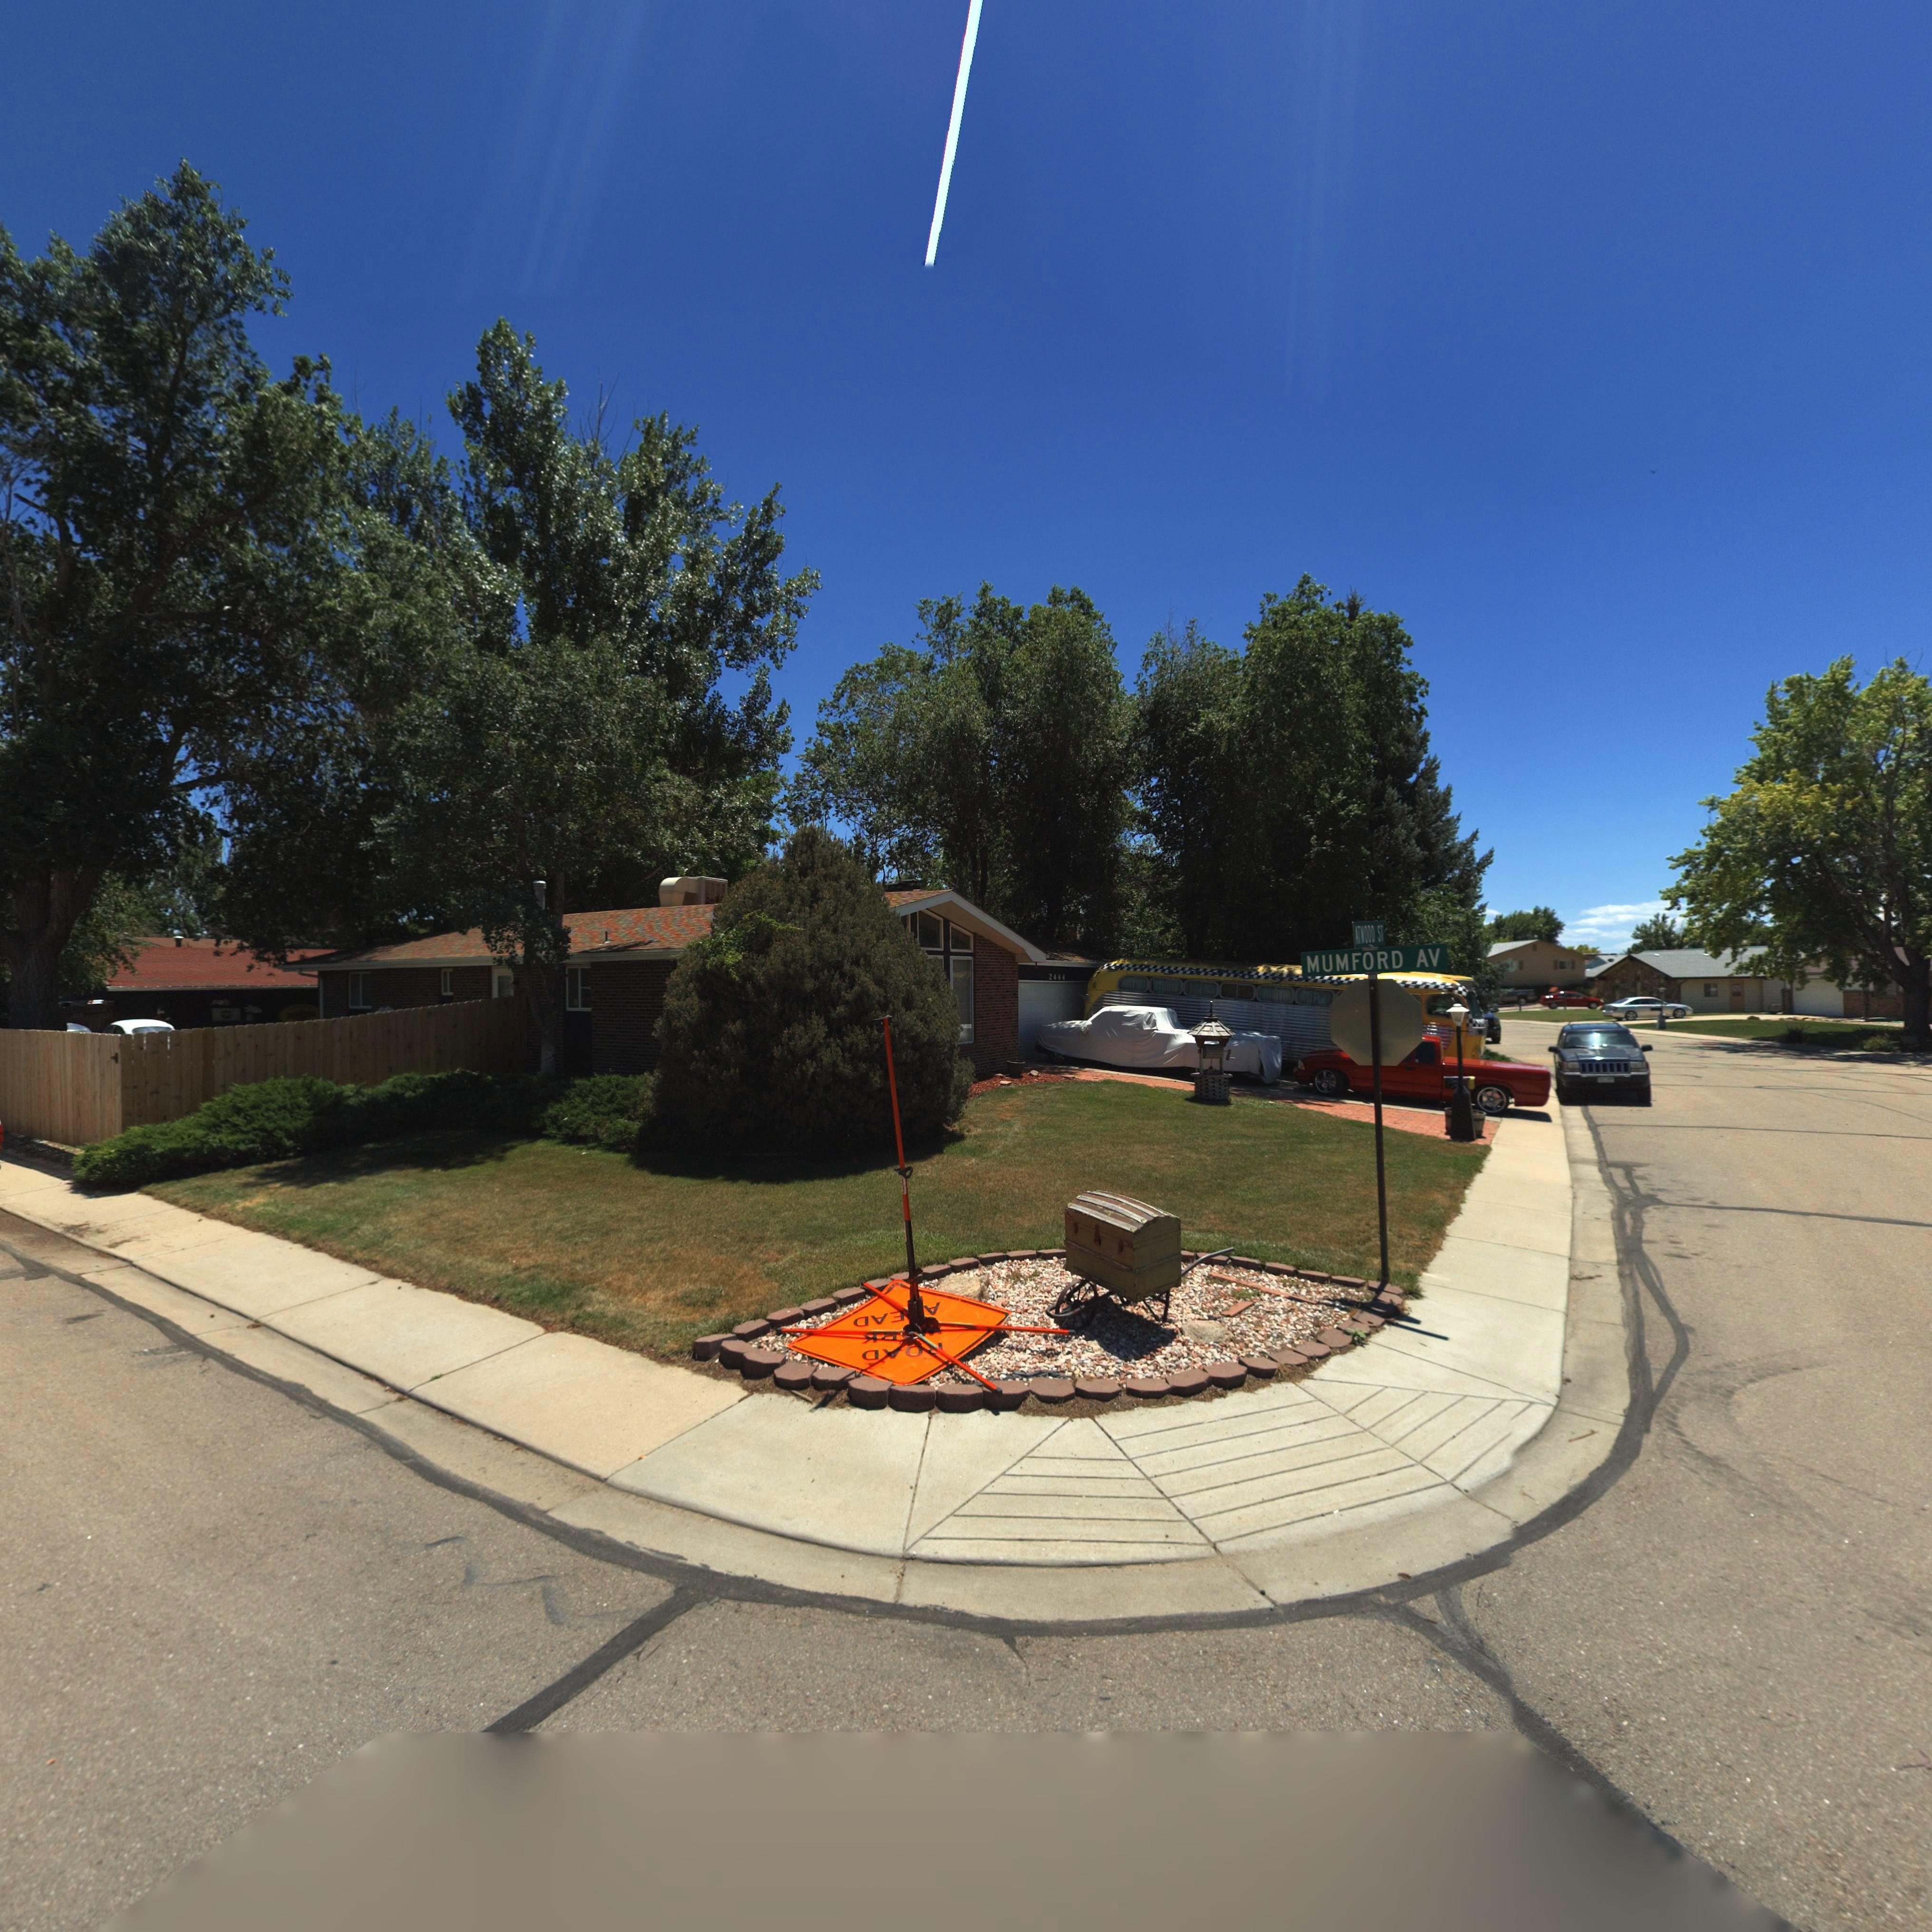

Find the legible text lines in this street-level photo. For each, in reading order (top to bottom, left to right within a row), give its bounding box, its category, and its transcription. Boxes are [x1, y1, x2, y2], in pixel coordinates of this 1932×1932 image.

[1352, 922, 1386, 945] StreetName: ATWOOD ST
[1303, 945, 1443, 975] StreetName: MUMFORD AV
[1049, 974, 1065, 980] StreetNumber: 2444